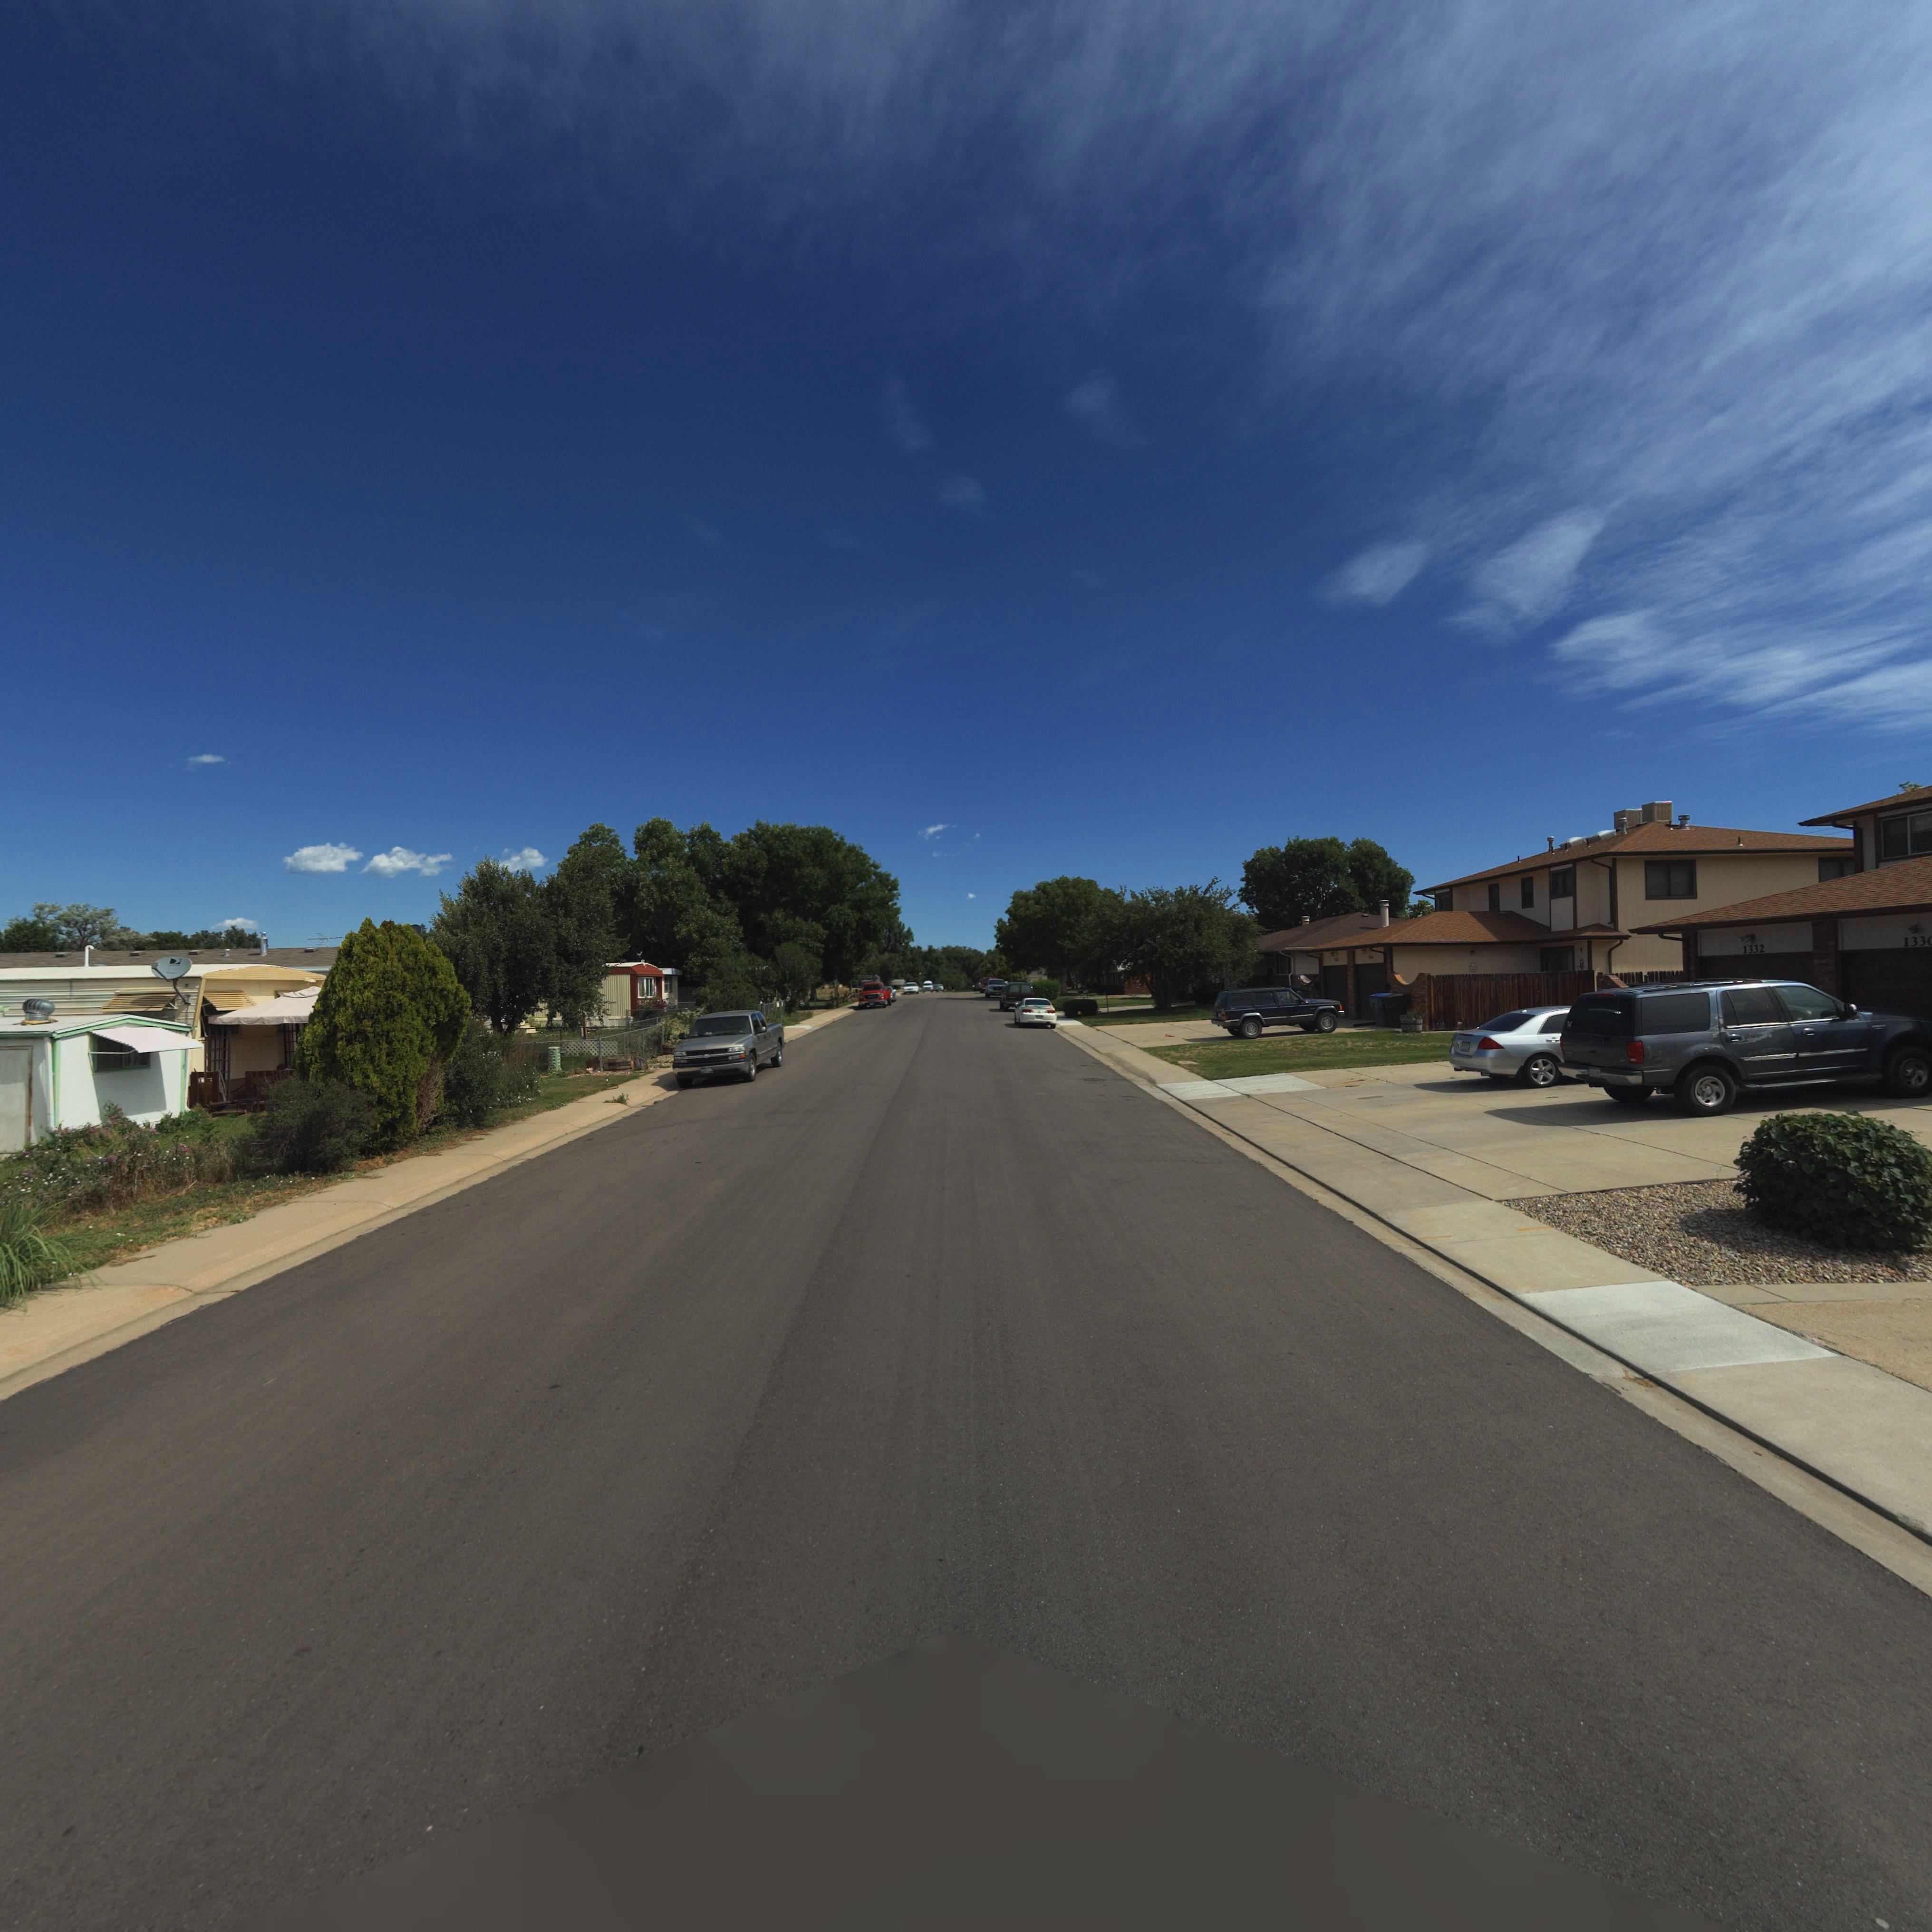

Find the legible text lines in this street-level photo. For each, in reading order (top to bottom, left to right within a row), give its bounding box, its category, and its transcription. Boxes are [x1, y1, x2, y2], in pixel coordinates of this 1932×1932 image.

[1903, 935, 1926, 947] StreetNumber: 133
[1743, 944, 1765, 954] StreetNumber: 1332